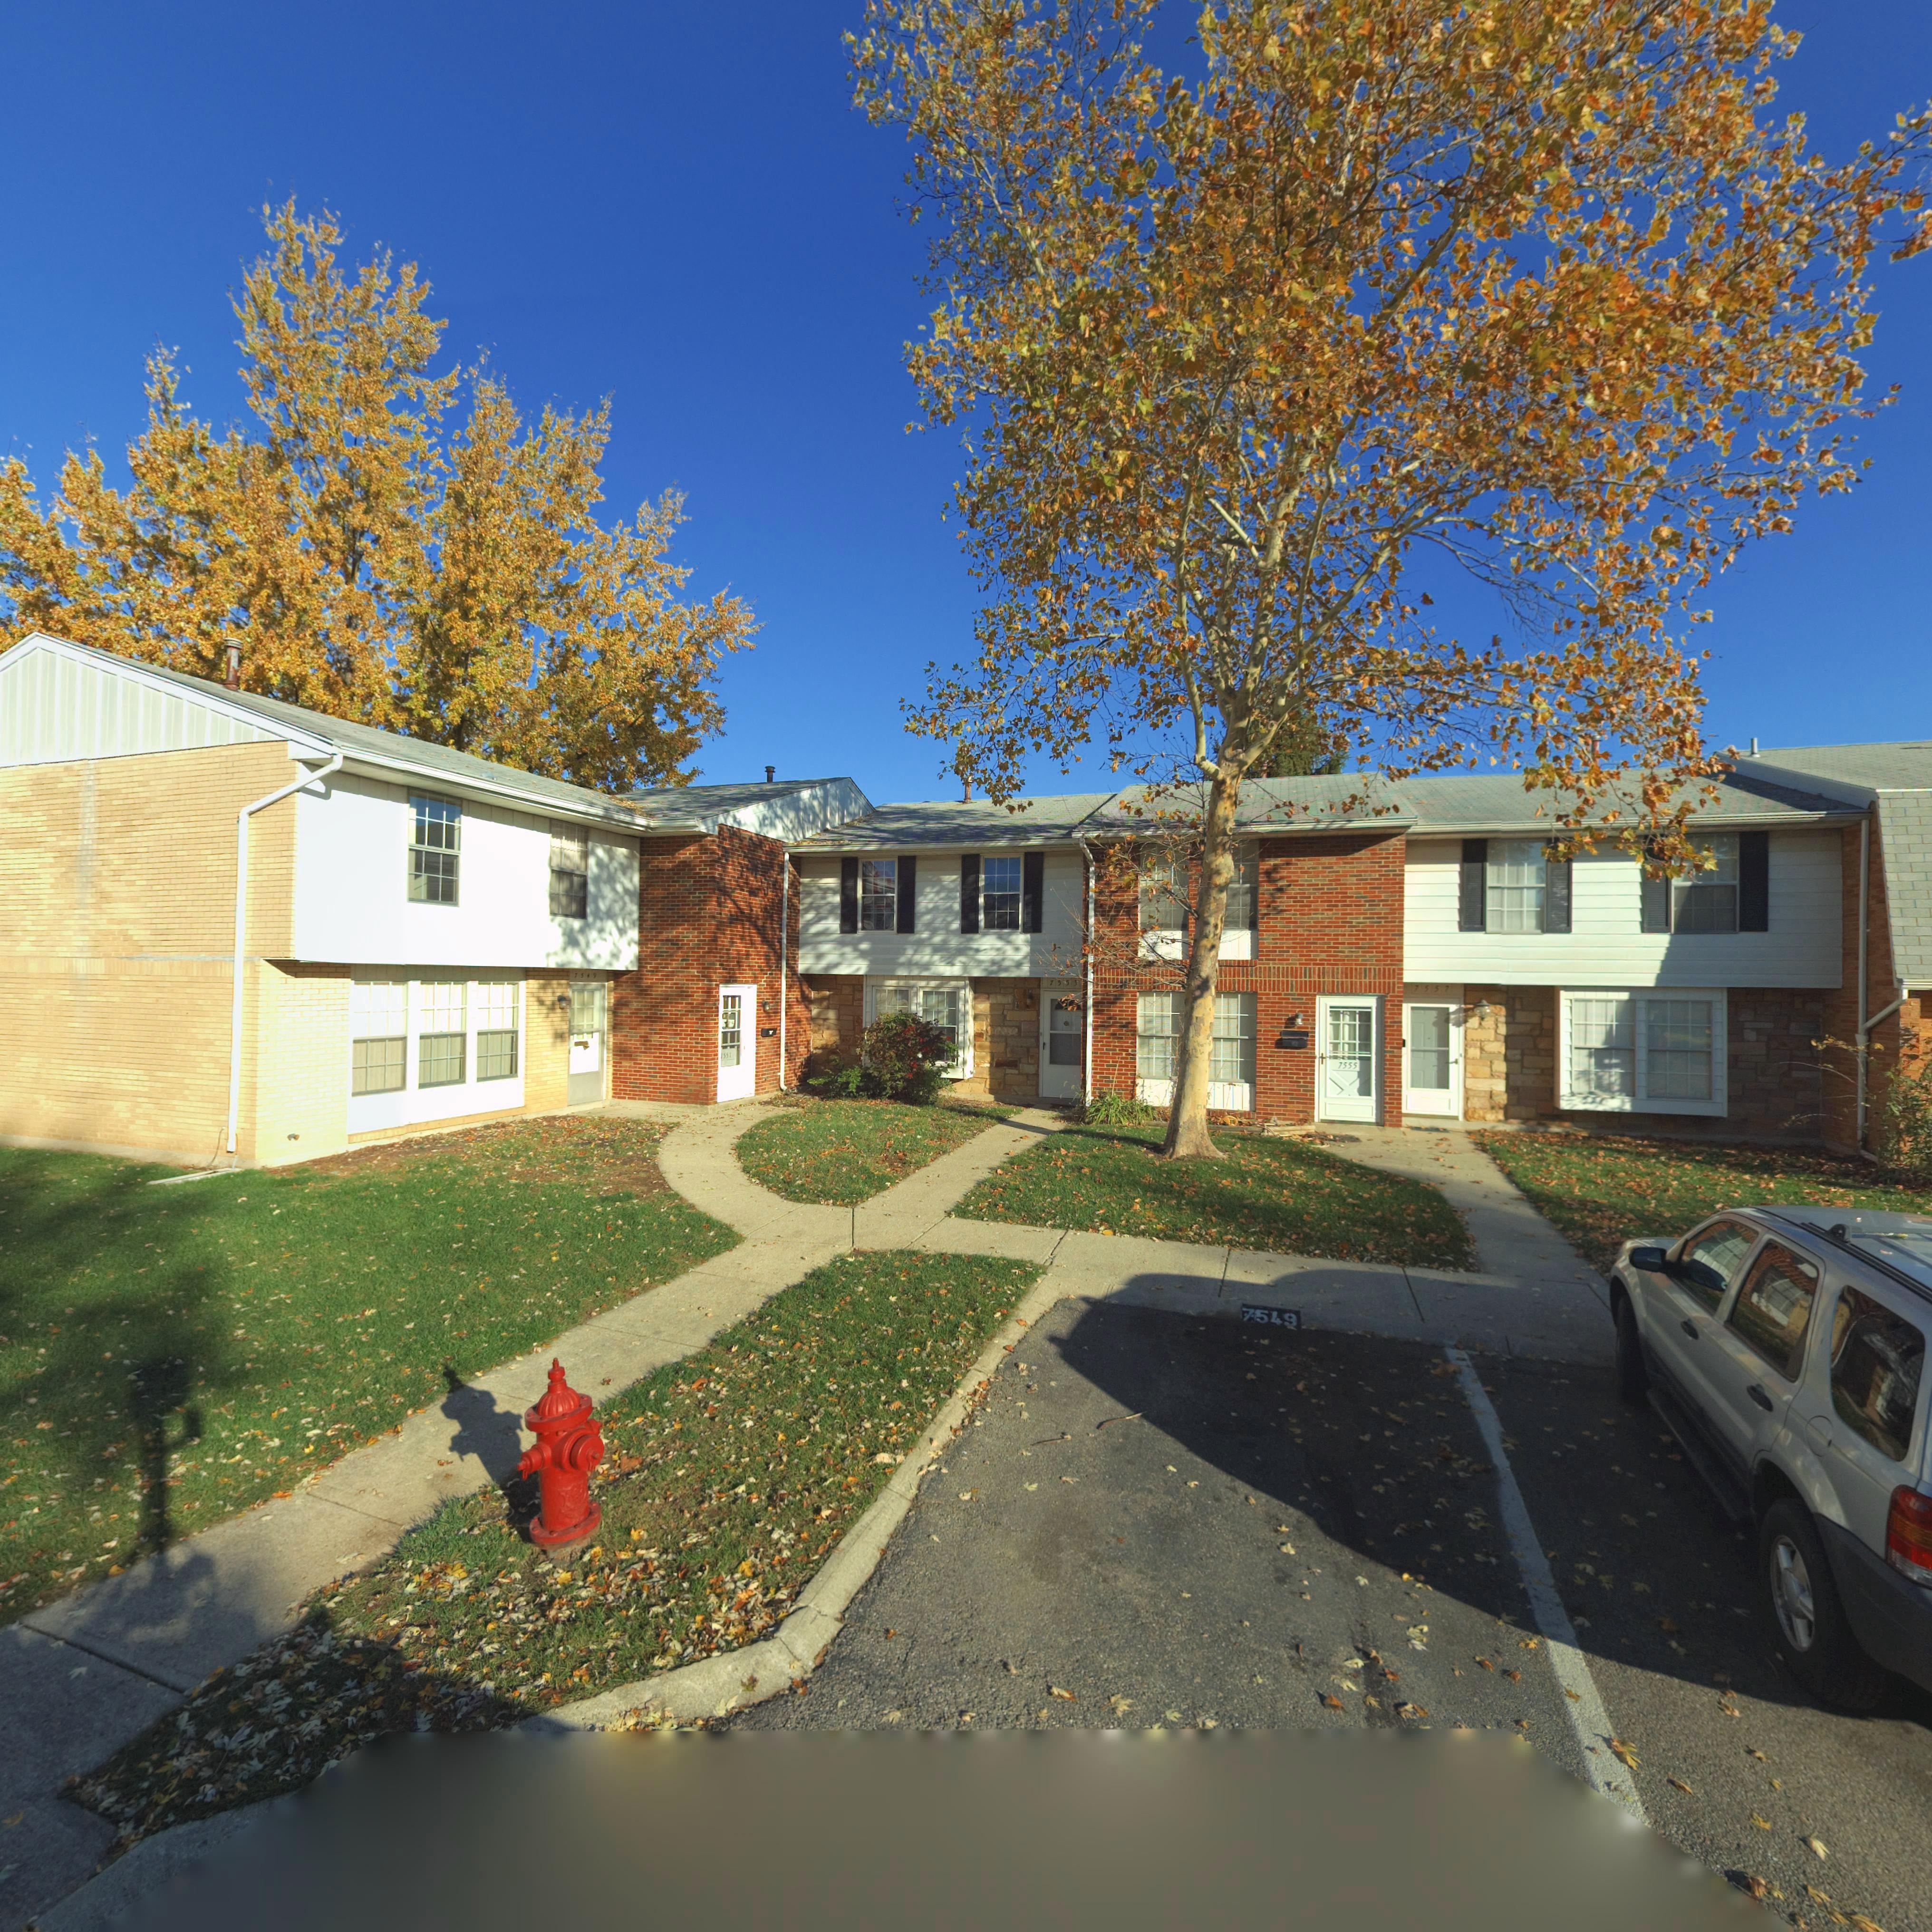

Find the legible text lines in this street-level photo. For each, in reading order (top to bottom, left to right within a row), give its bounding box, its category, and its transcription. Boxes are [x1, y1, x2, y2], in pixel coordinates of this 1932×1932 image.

[573, 972, 598, 979] StreetNumber: 7549
[1049, 979, 1078, 987] StreetNumber: 7553
[1412, 984, 1450, 994] StreetNumber: 7557
[723, 1052, 732, 1059] StreetNumber: 551
[1336, 1061, 1358, 1070] StreetNumber: 7555
[1240, 1306, 1299, 1328] StreetNumber: 7549